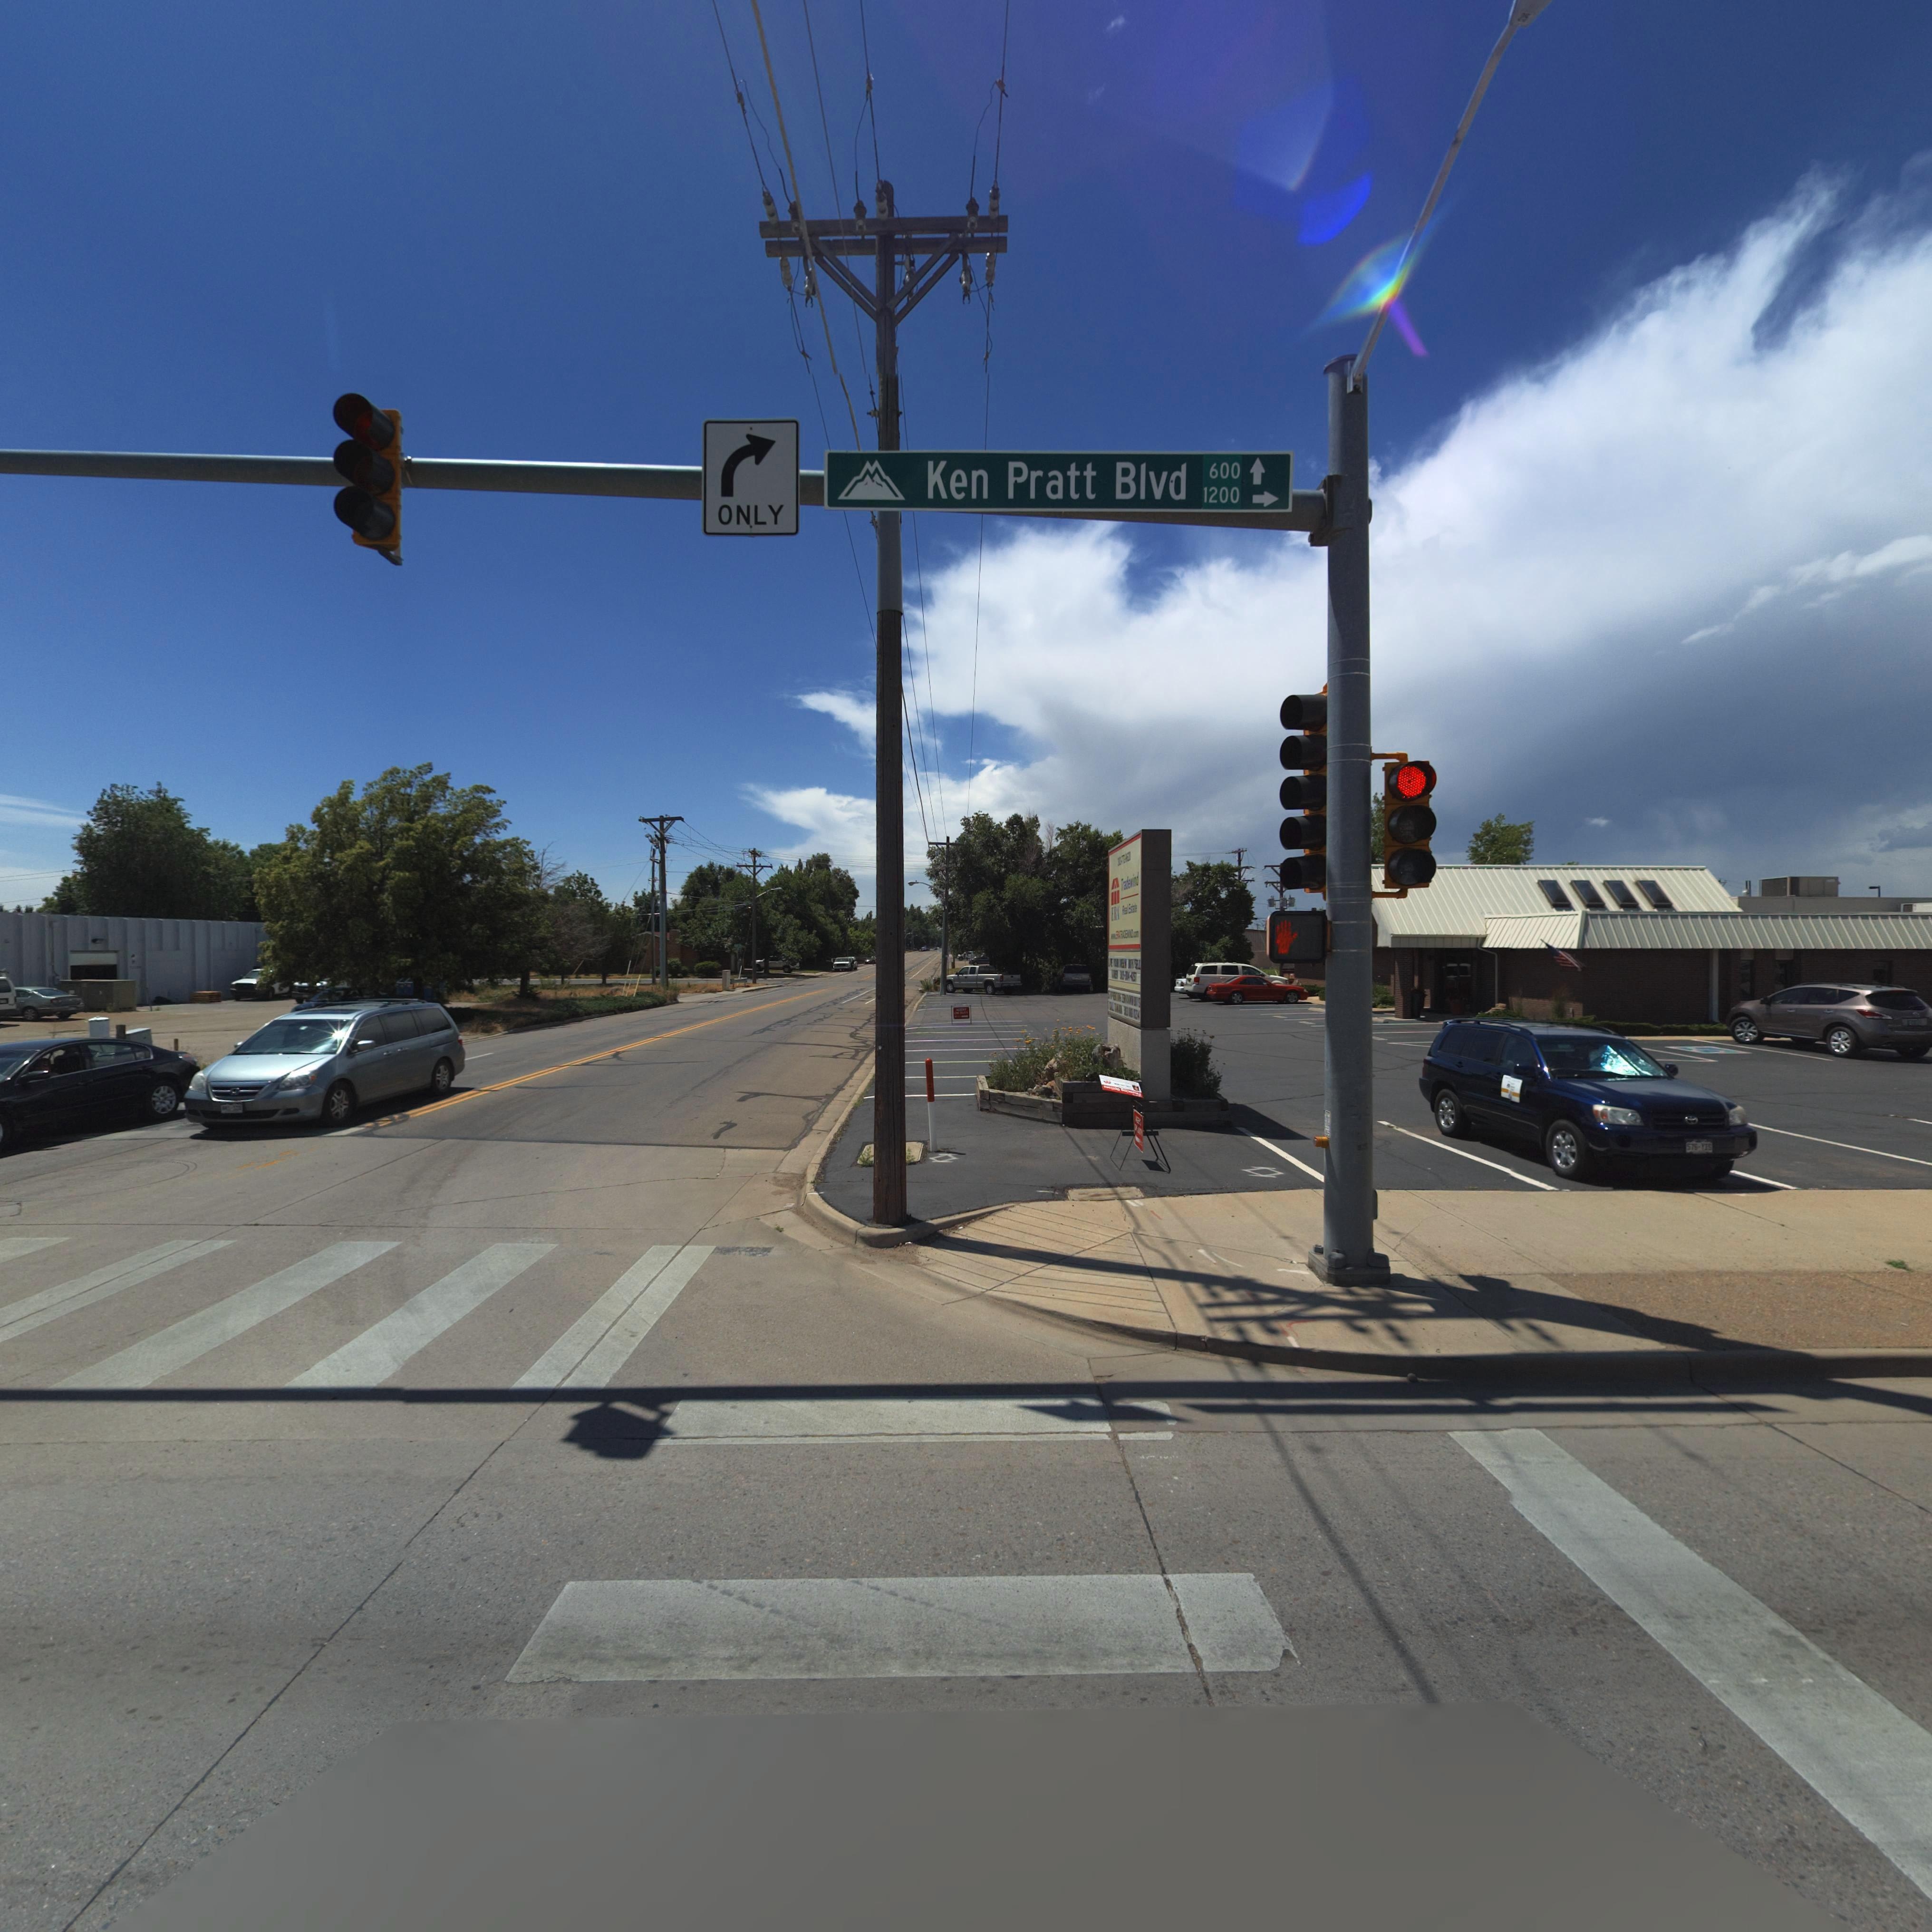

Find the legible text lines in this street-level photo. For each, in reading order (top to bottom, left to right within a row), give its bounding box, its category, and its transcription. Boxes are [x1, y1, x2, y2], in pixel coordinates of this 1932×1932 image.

[926, 458, 1188, 502] StreetName: Ken Pratt Blvd
[1208, 462, 1241, 479] StreetNumberRange: 600
[1203, 485, 1280, 508] StreetNumberRange: 1200->
[1121, 871, 1139, 891] BusinessName: Tradewind
[1111, 905, 1120, 921] BusinessName: ER*
[1121, 903, 1137, 915] BusinessName: Real Estate